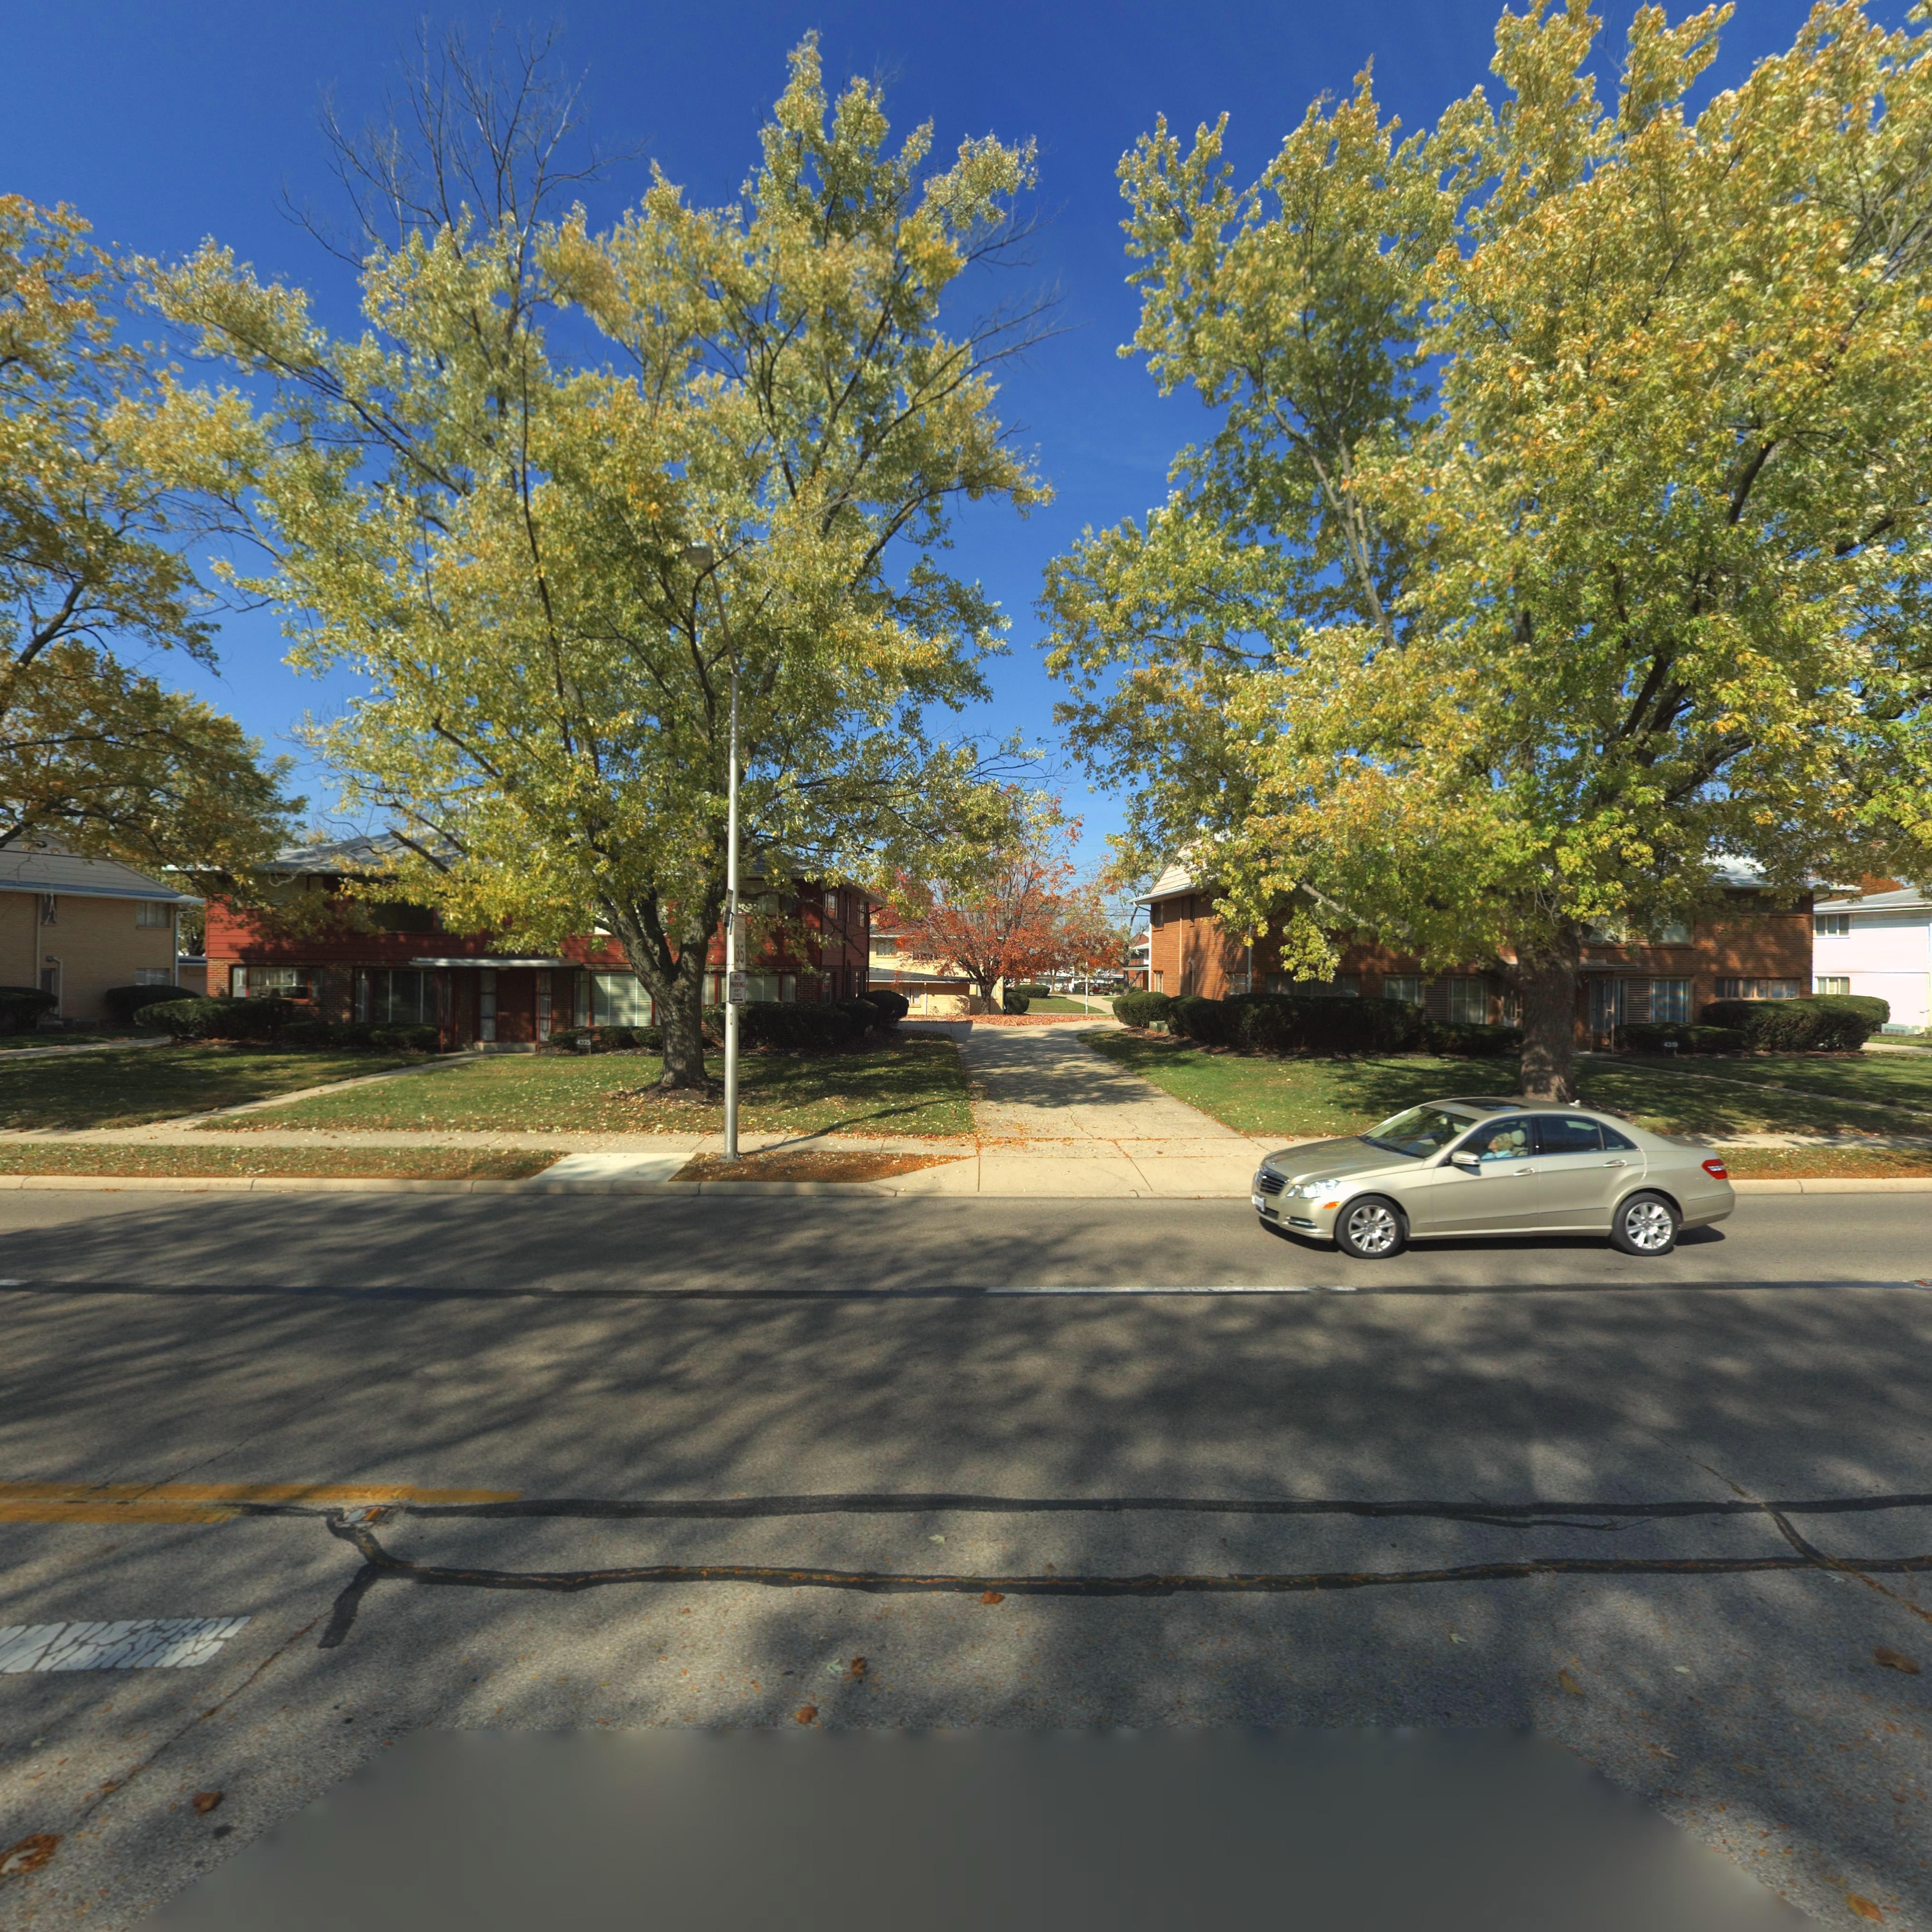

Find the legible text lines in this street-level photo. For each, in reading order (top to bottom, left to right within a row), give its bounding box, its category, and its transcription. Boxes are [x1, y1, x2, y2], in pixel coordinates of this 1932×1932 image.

[576, 1038, 592, 1046] StreetNumber: 4325
[1662, 1041, 1679, 1048] StreetNumber: 4319